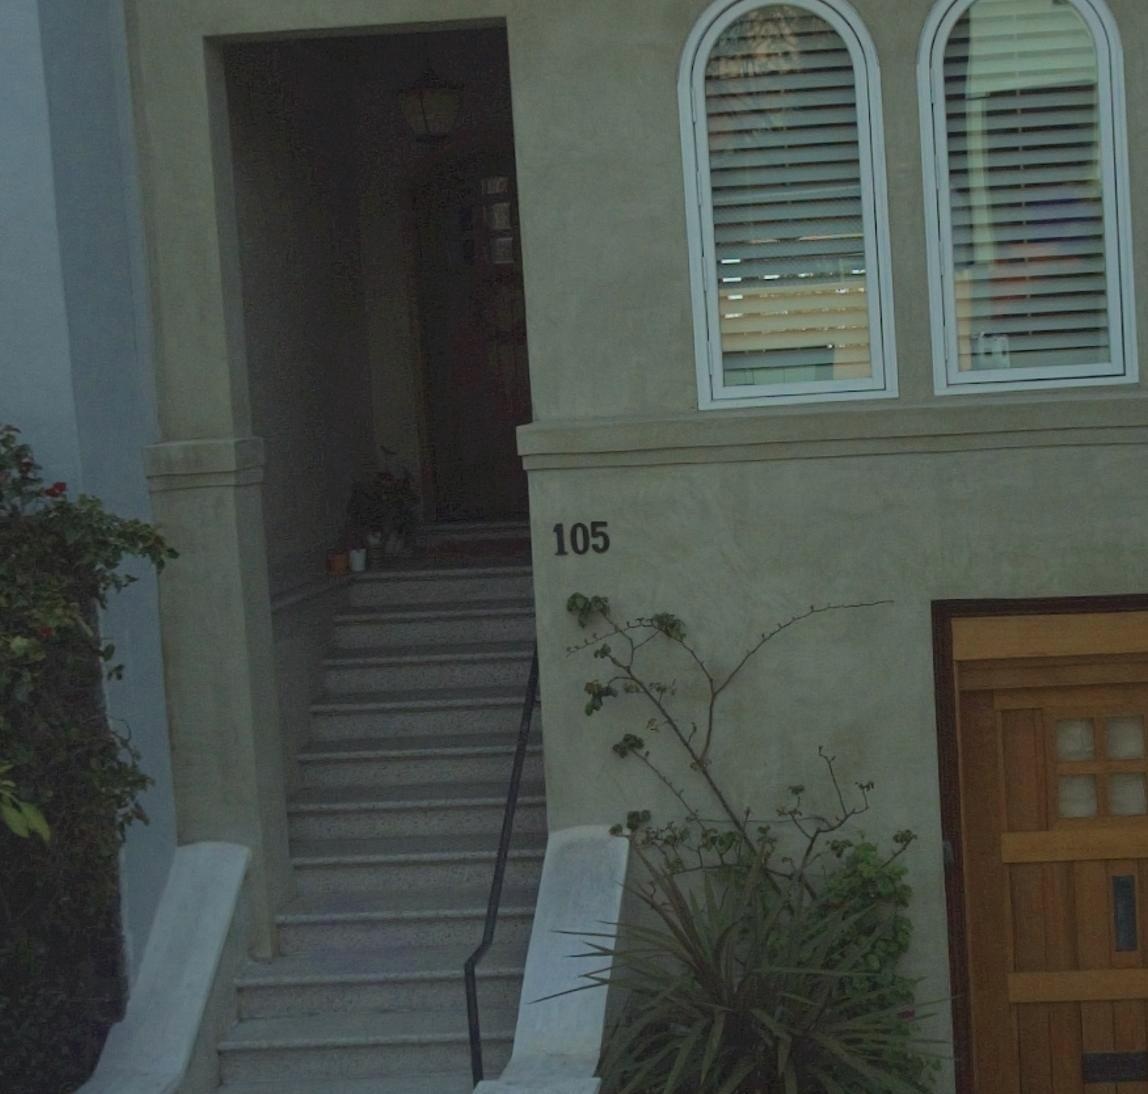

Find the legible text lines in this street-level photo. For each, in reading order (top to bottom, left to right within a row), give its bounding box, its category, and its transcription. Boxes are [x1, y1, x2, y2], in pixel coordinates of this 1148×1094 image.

[549, 519, 612, 559] StreetNumber: 105